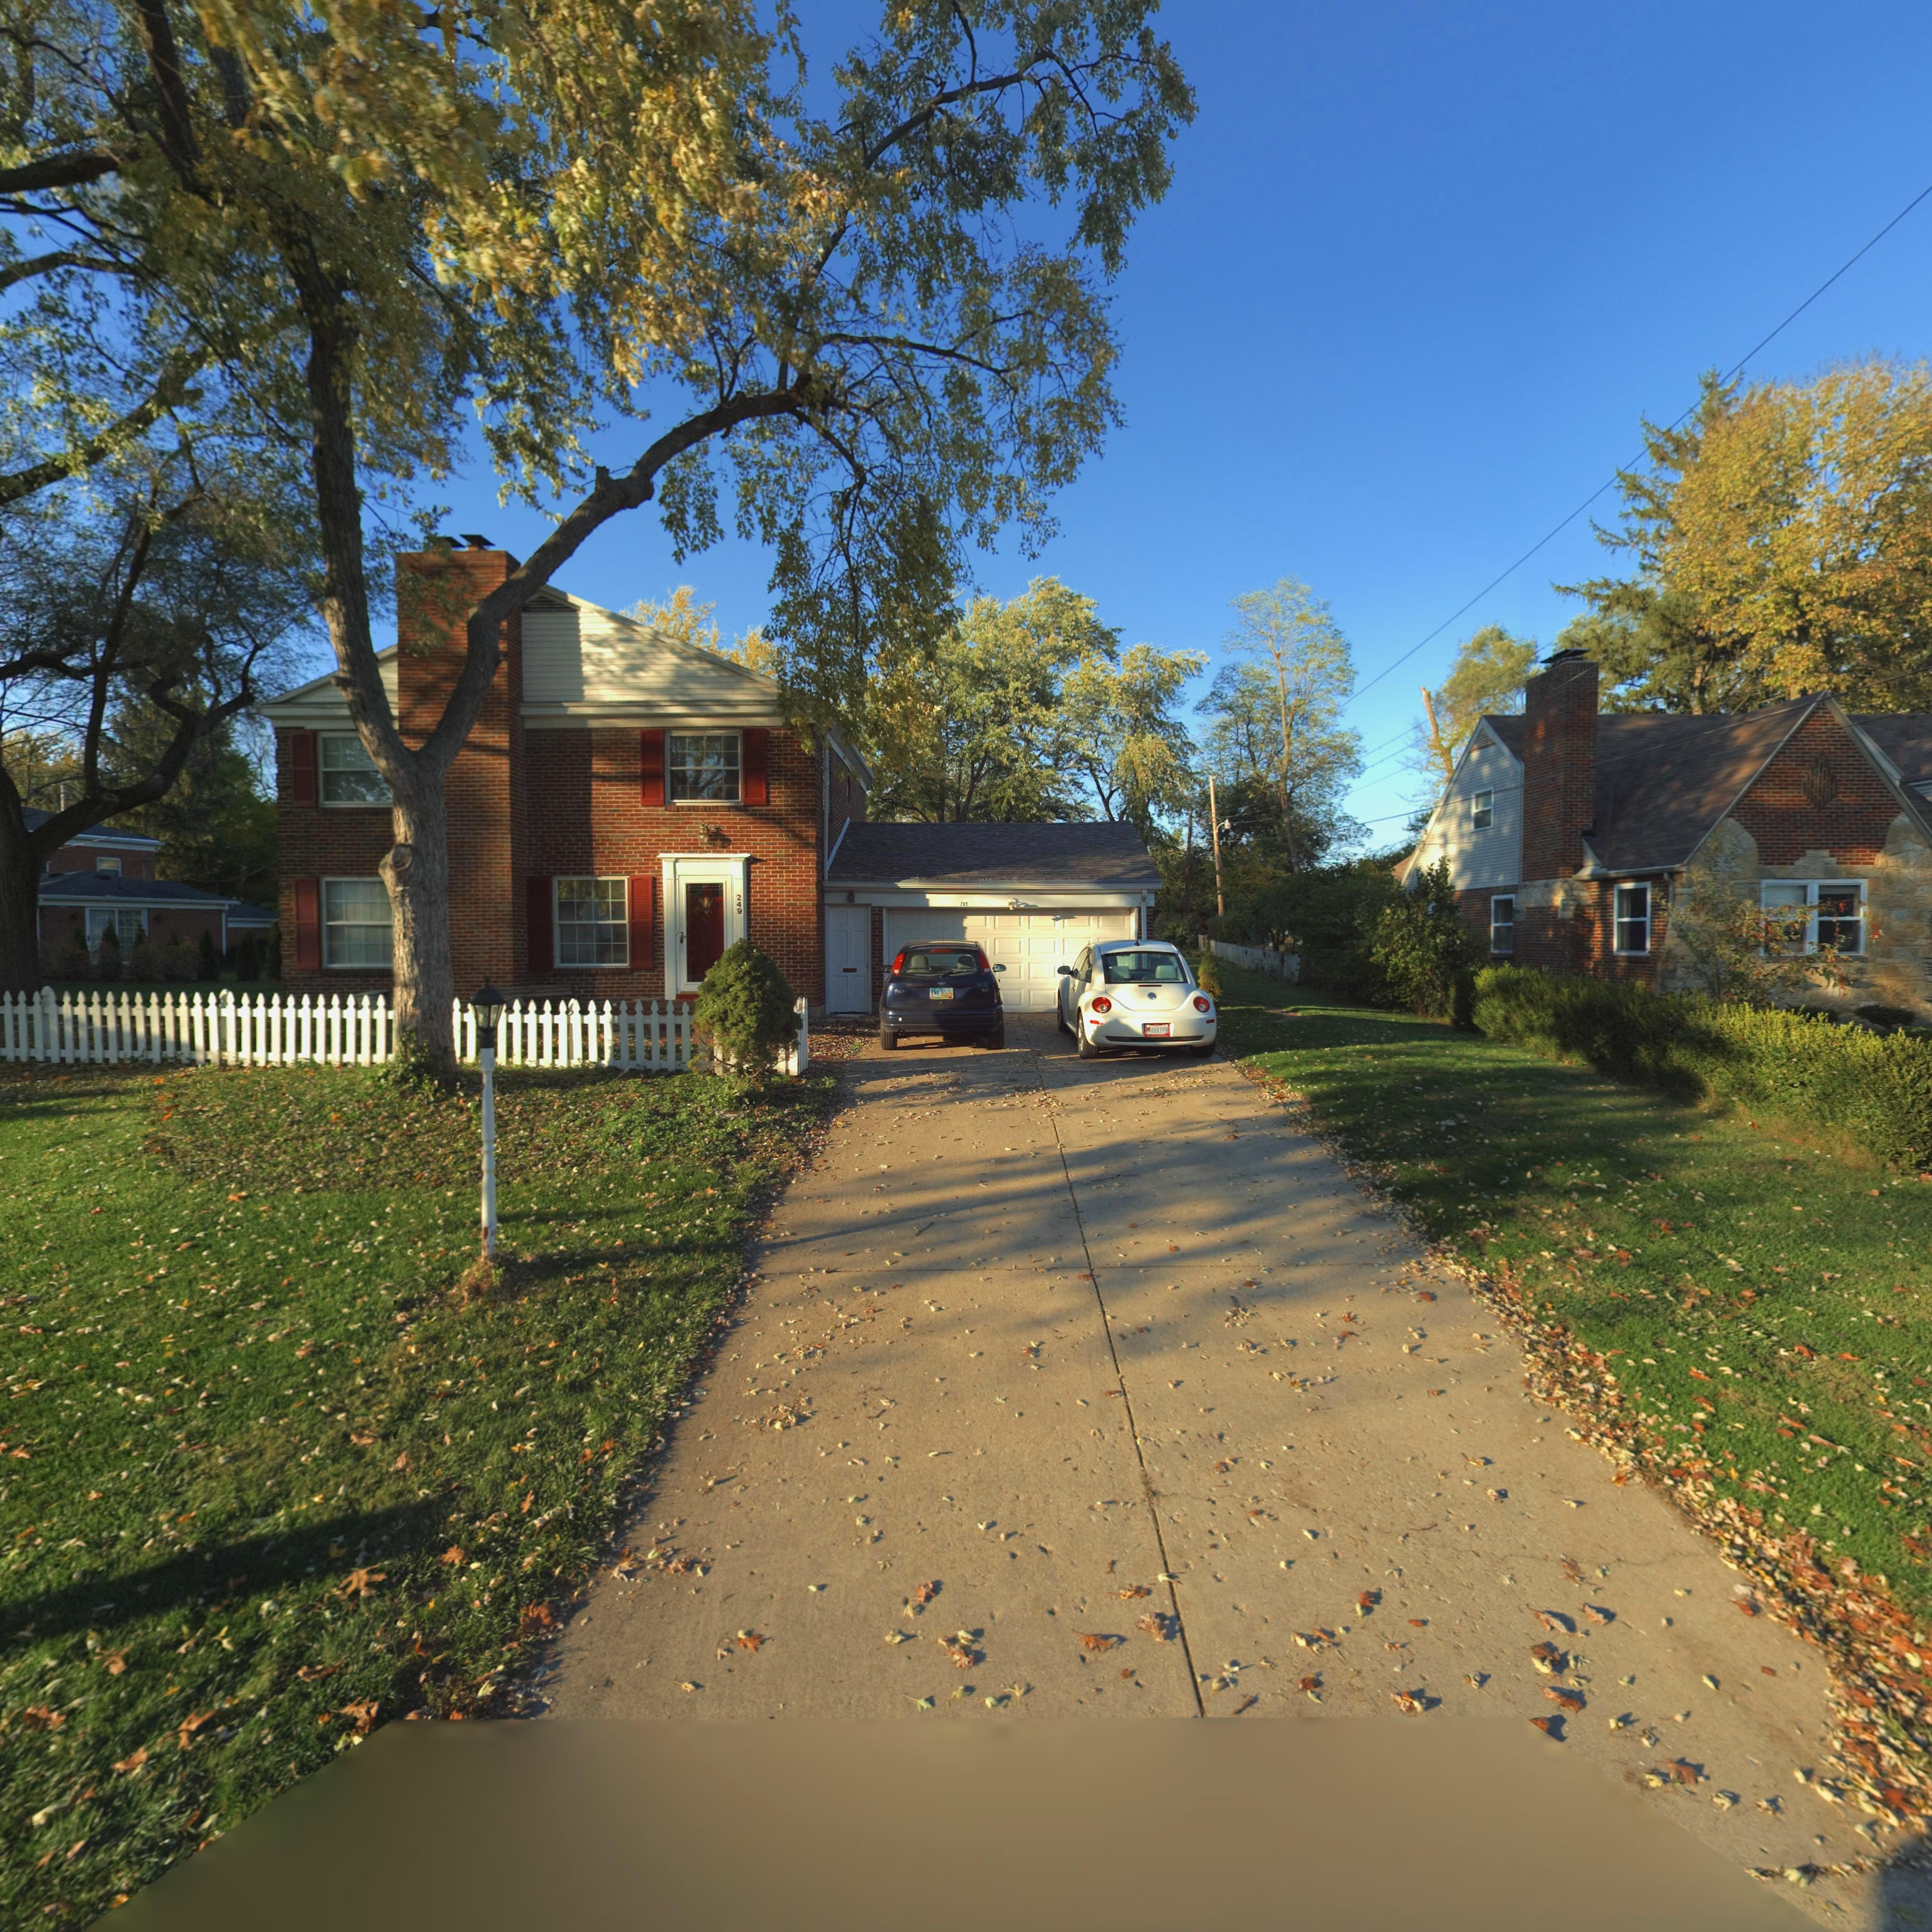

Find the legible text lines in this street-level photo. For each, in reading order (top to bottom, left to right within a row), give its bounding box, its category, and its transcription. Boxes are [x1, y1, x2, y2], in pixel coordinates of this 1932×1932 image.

[736, 894, 742, 914] StreetNumber: 249
[960, 901, 968, 907] StreetNumber: 24*